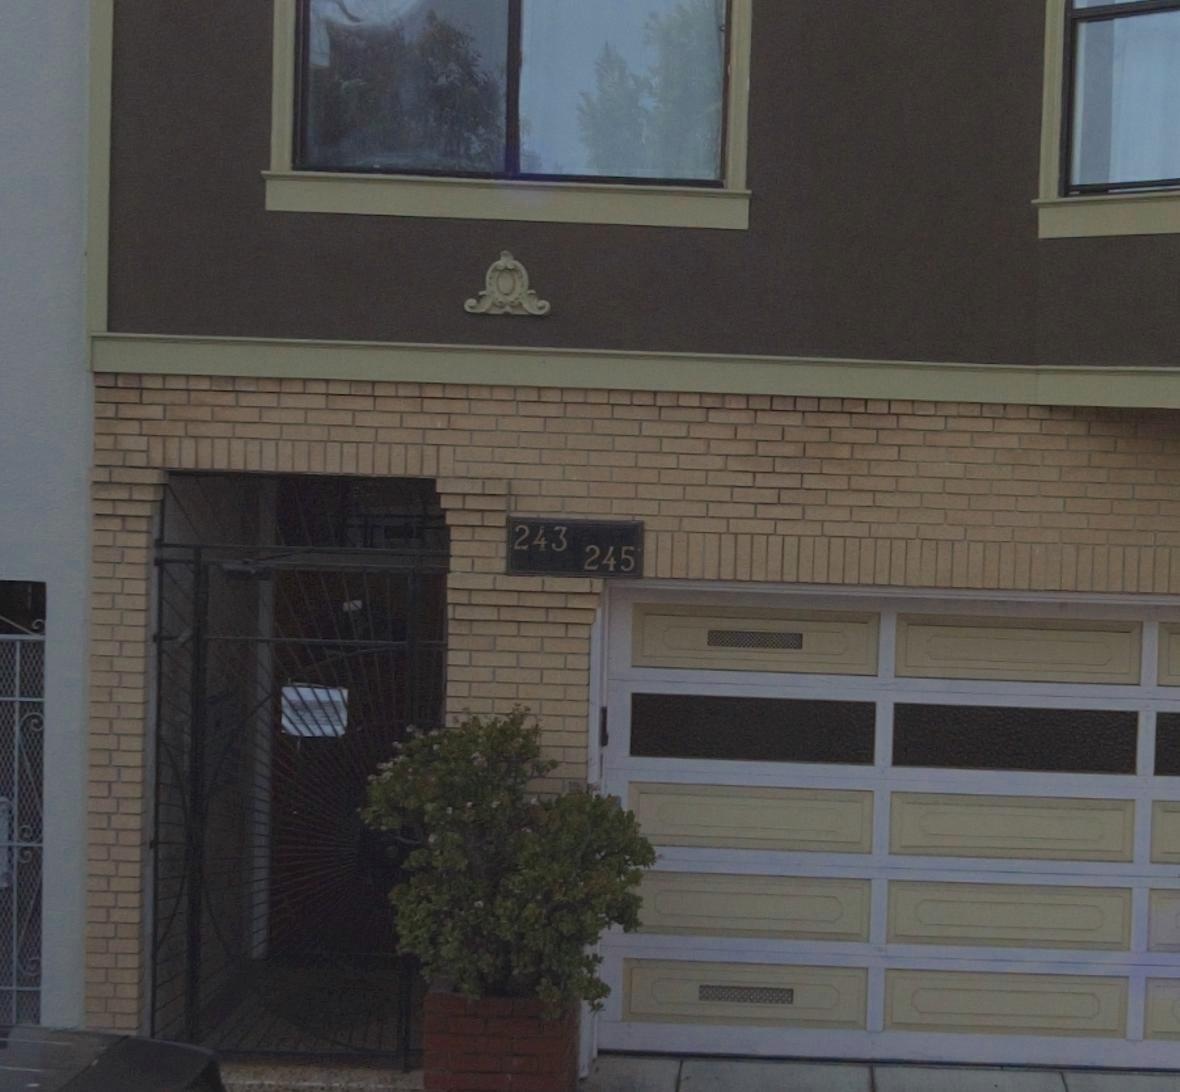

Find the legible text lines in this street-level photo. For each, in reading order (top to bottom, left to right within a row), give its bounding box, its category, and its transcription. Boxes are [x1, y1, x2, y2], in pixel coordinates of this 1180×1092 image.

[512, 523, 569, 553] StreetNumber: 243
[583, 543, 637, 573] StreetNumber: 245